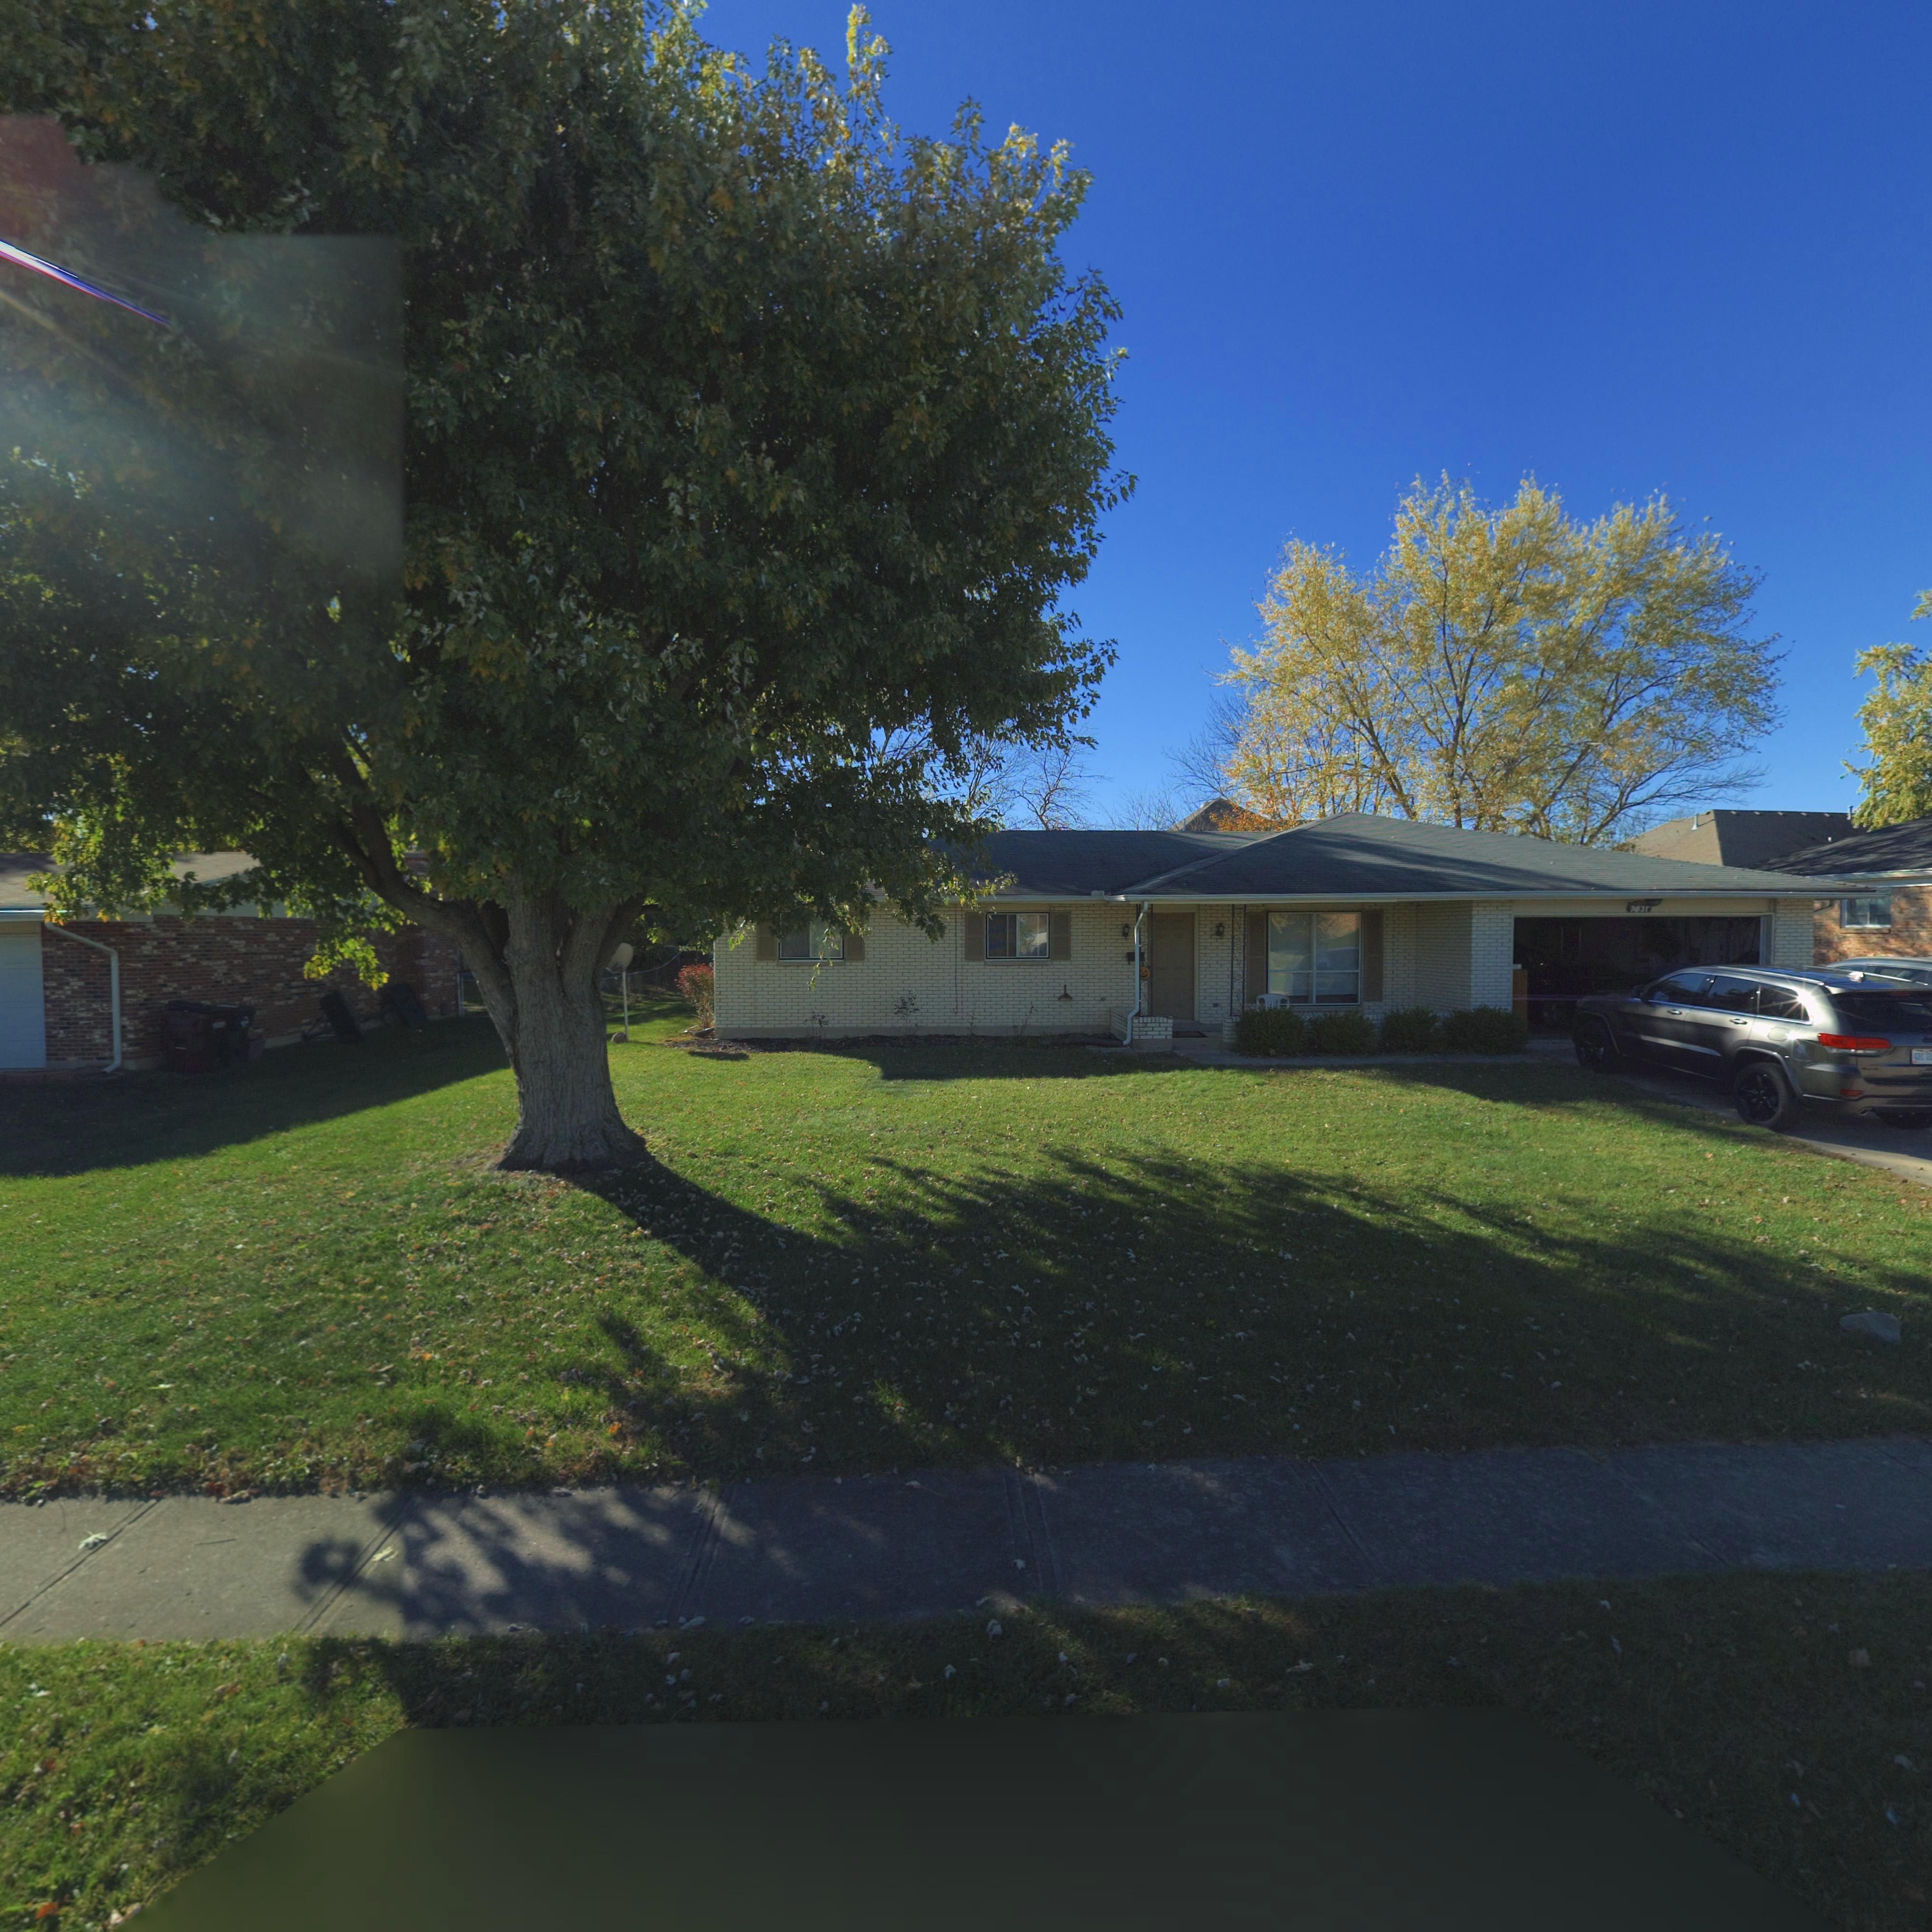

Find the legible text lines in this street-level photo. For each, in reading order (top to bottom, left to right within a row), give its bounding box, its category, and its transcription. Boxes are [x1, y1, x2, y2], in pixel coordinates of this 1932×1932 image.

[1630, 905, 1650, 913] StreetNumber: 7031